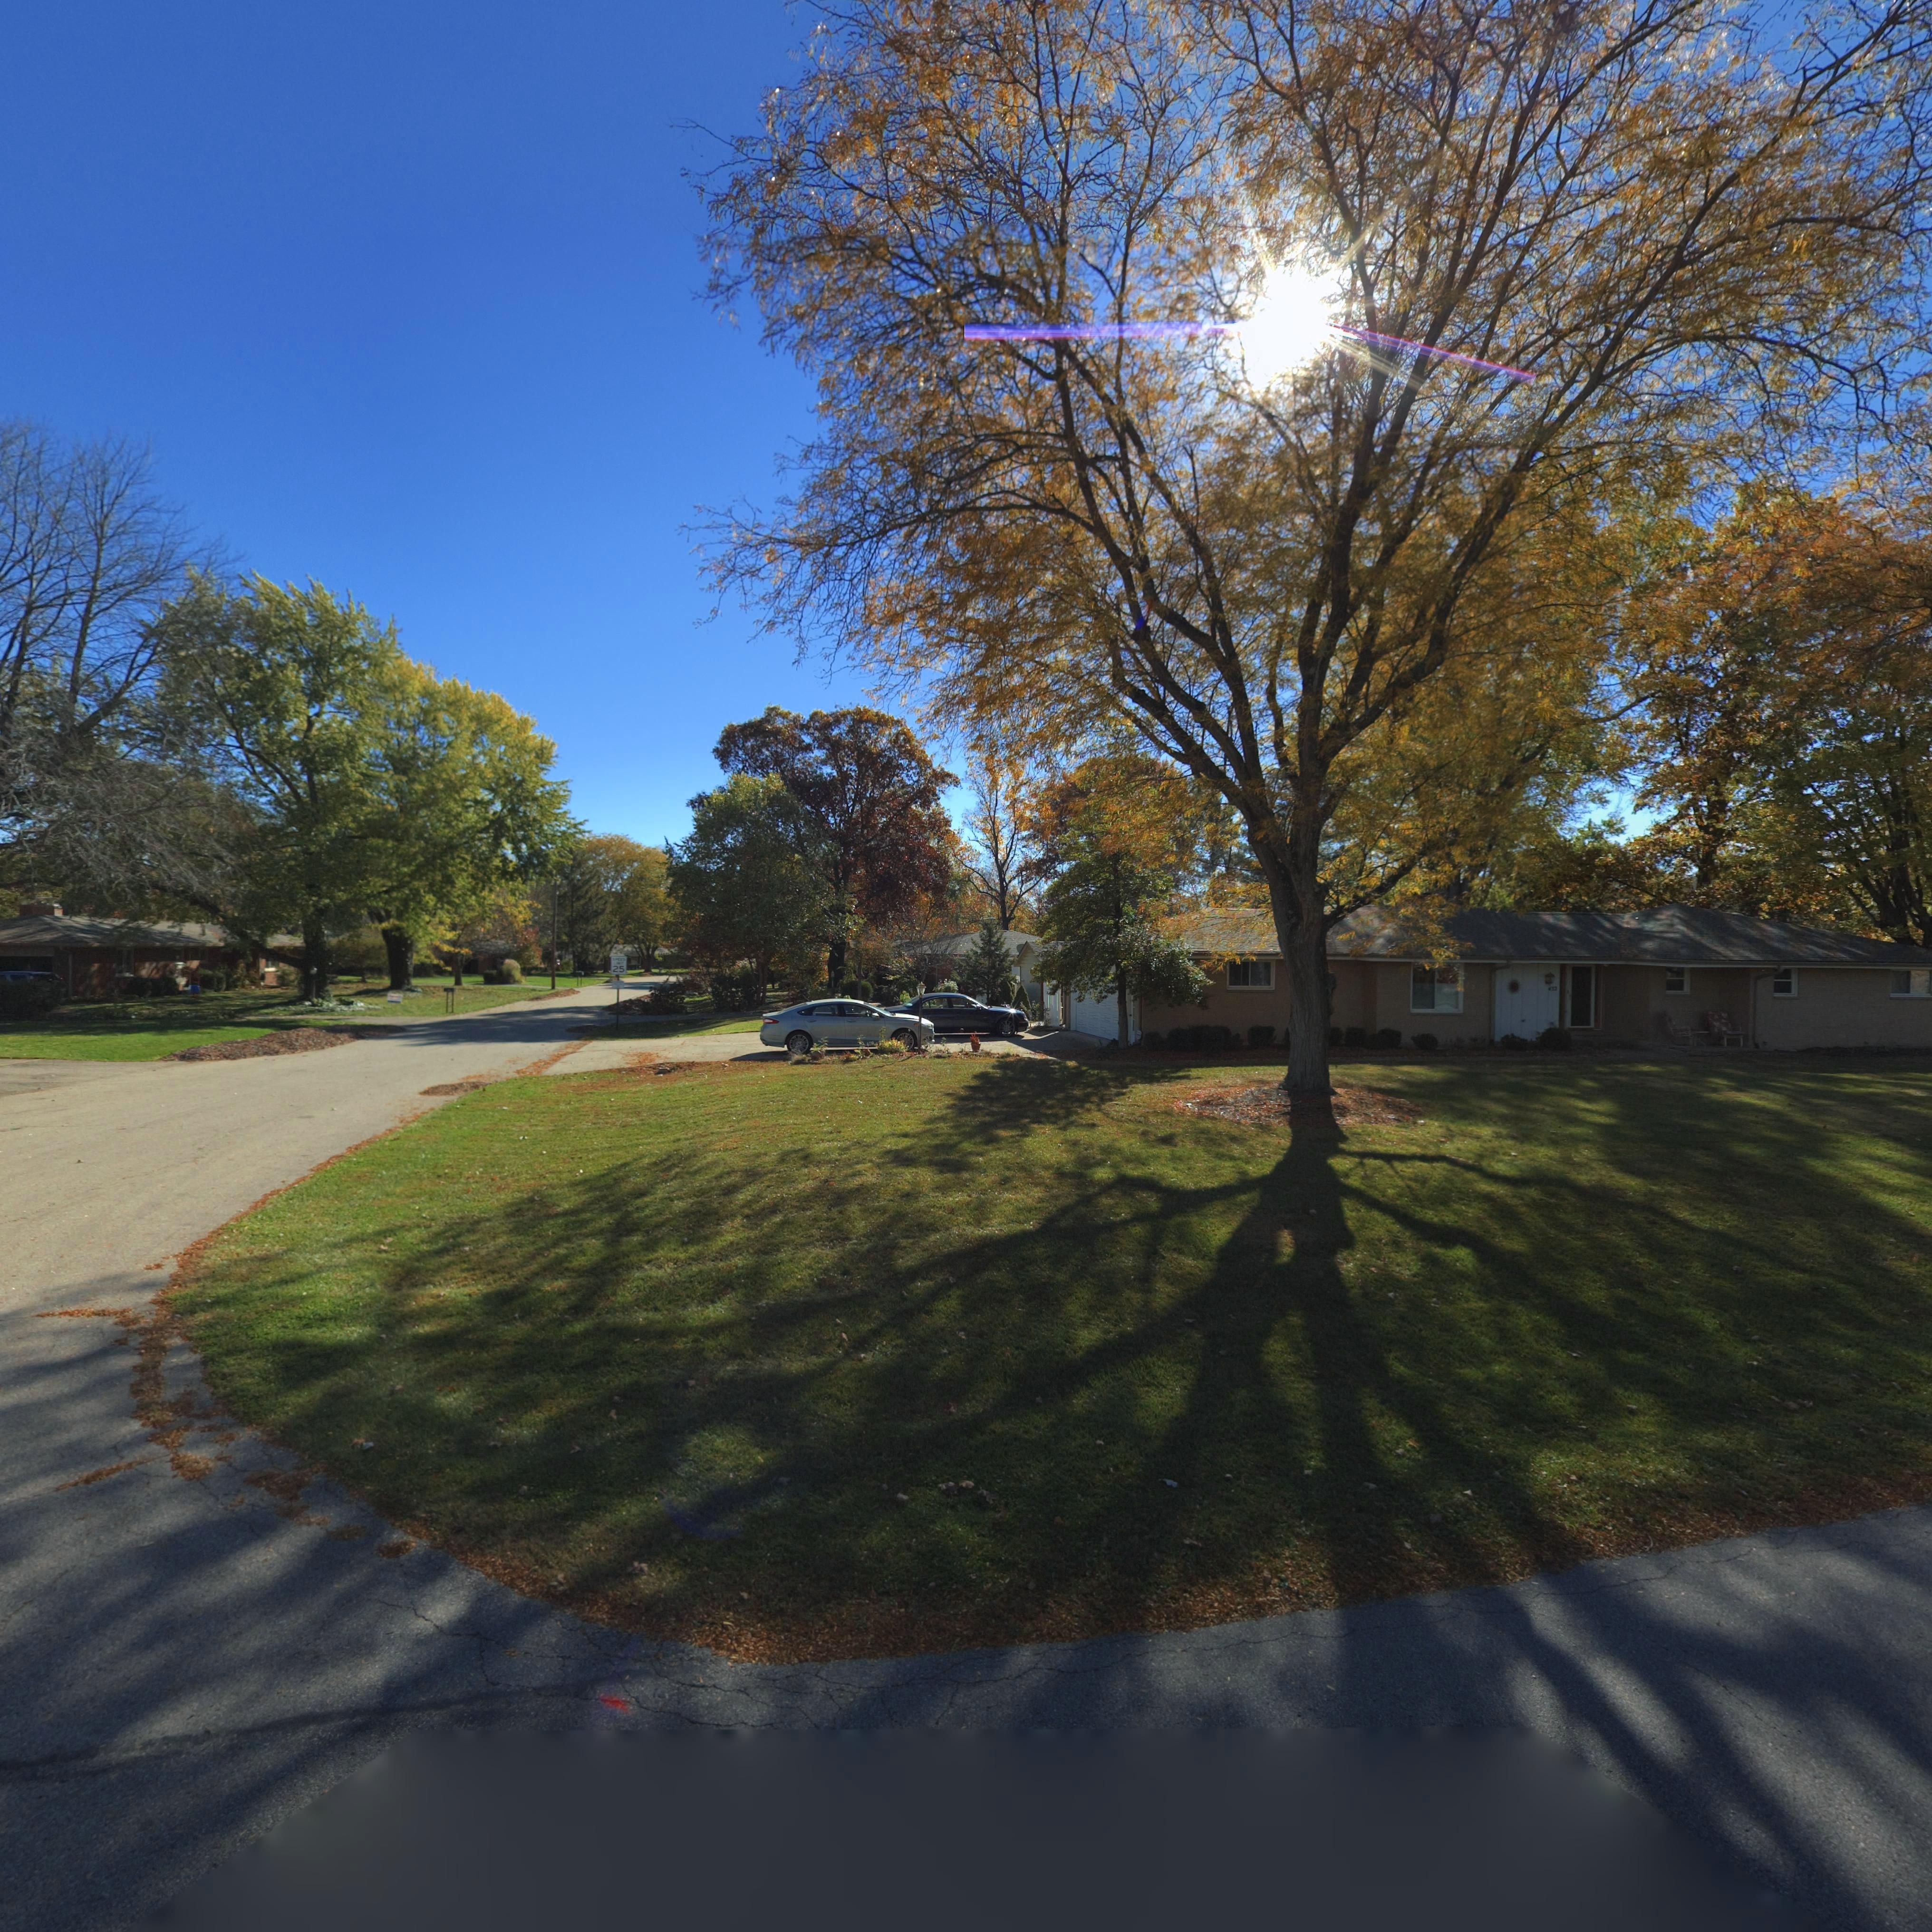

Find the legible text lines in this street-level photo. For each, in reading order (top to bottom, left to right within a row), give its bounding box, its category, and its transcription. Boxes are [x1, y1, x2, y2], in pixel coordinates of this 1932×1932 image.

[612, 965, 625, 973] None: 25
[1546, 986, 1558, 991] StreetNumber: 432